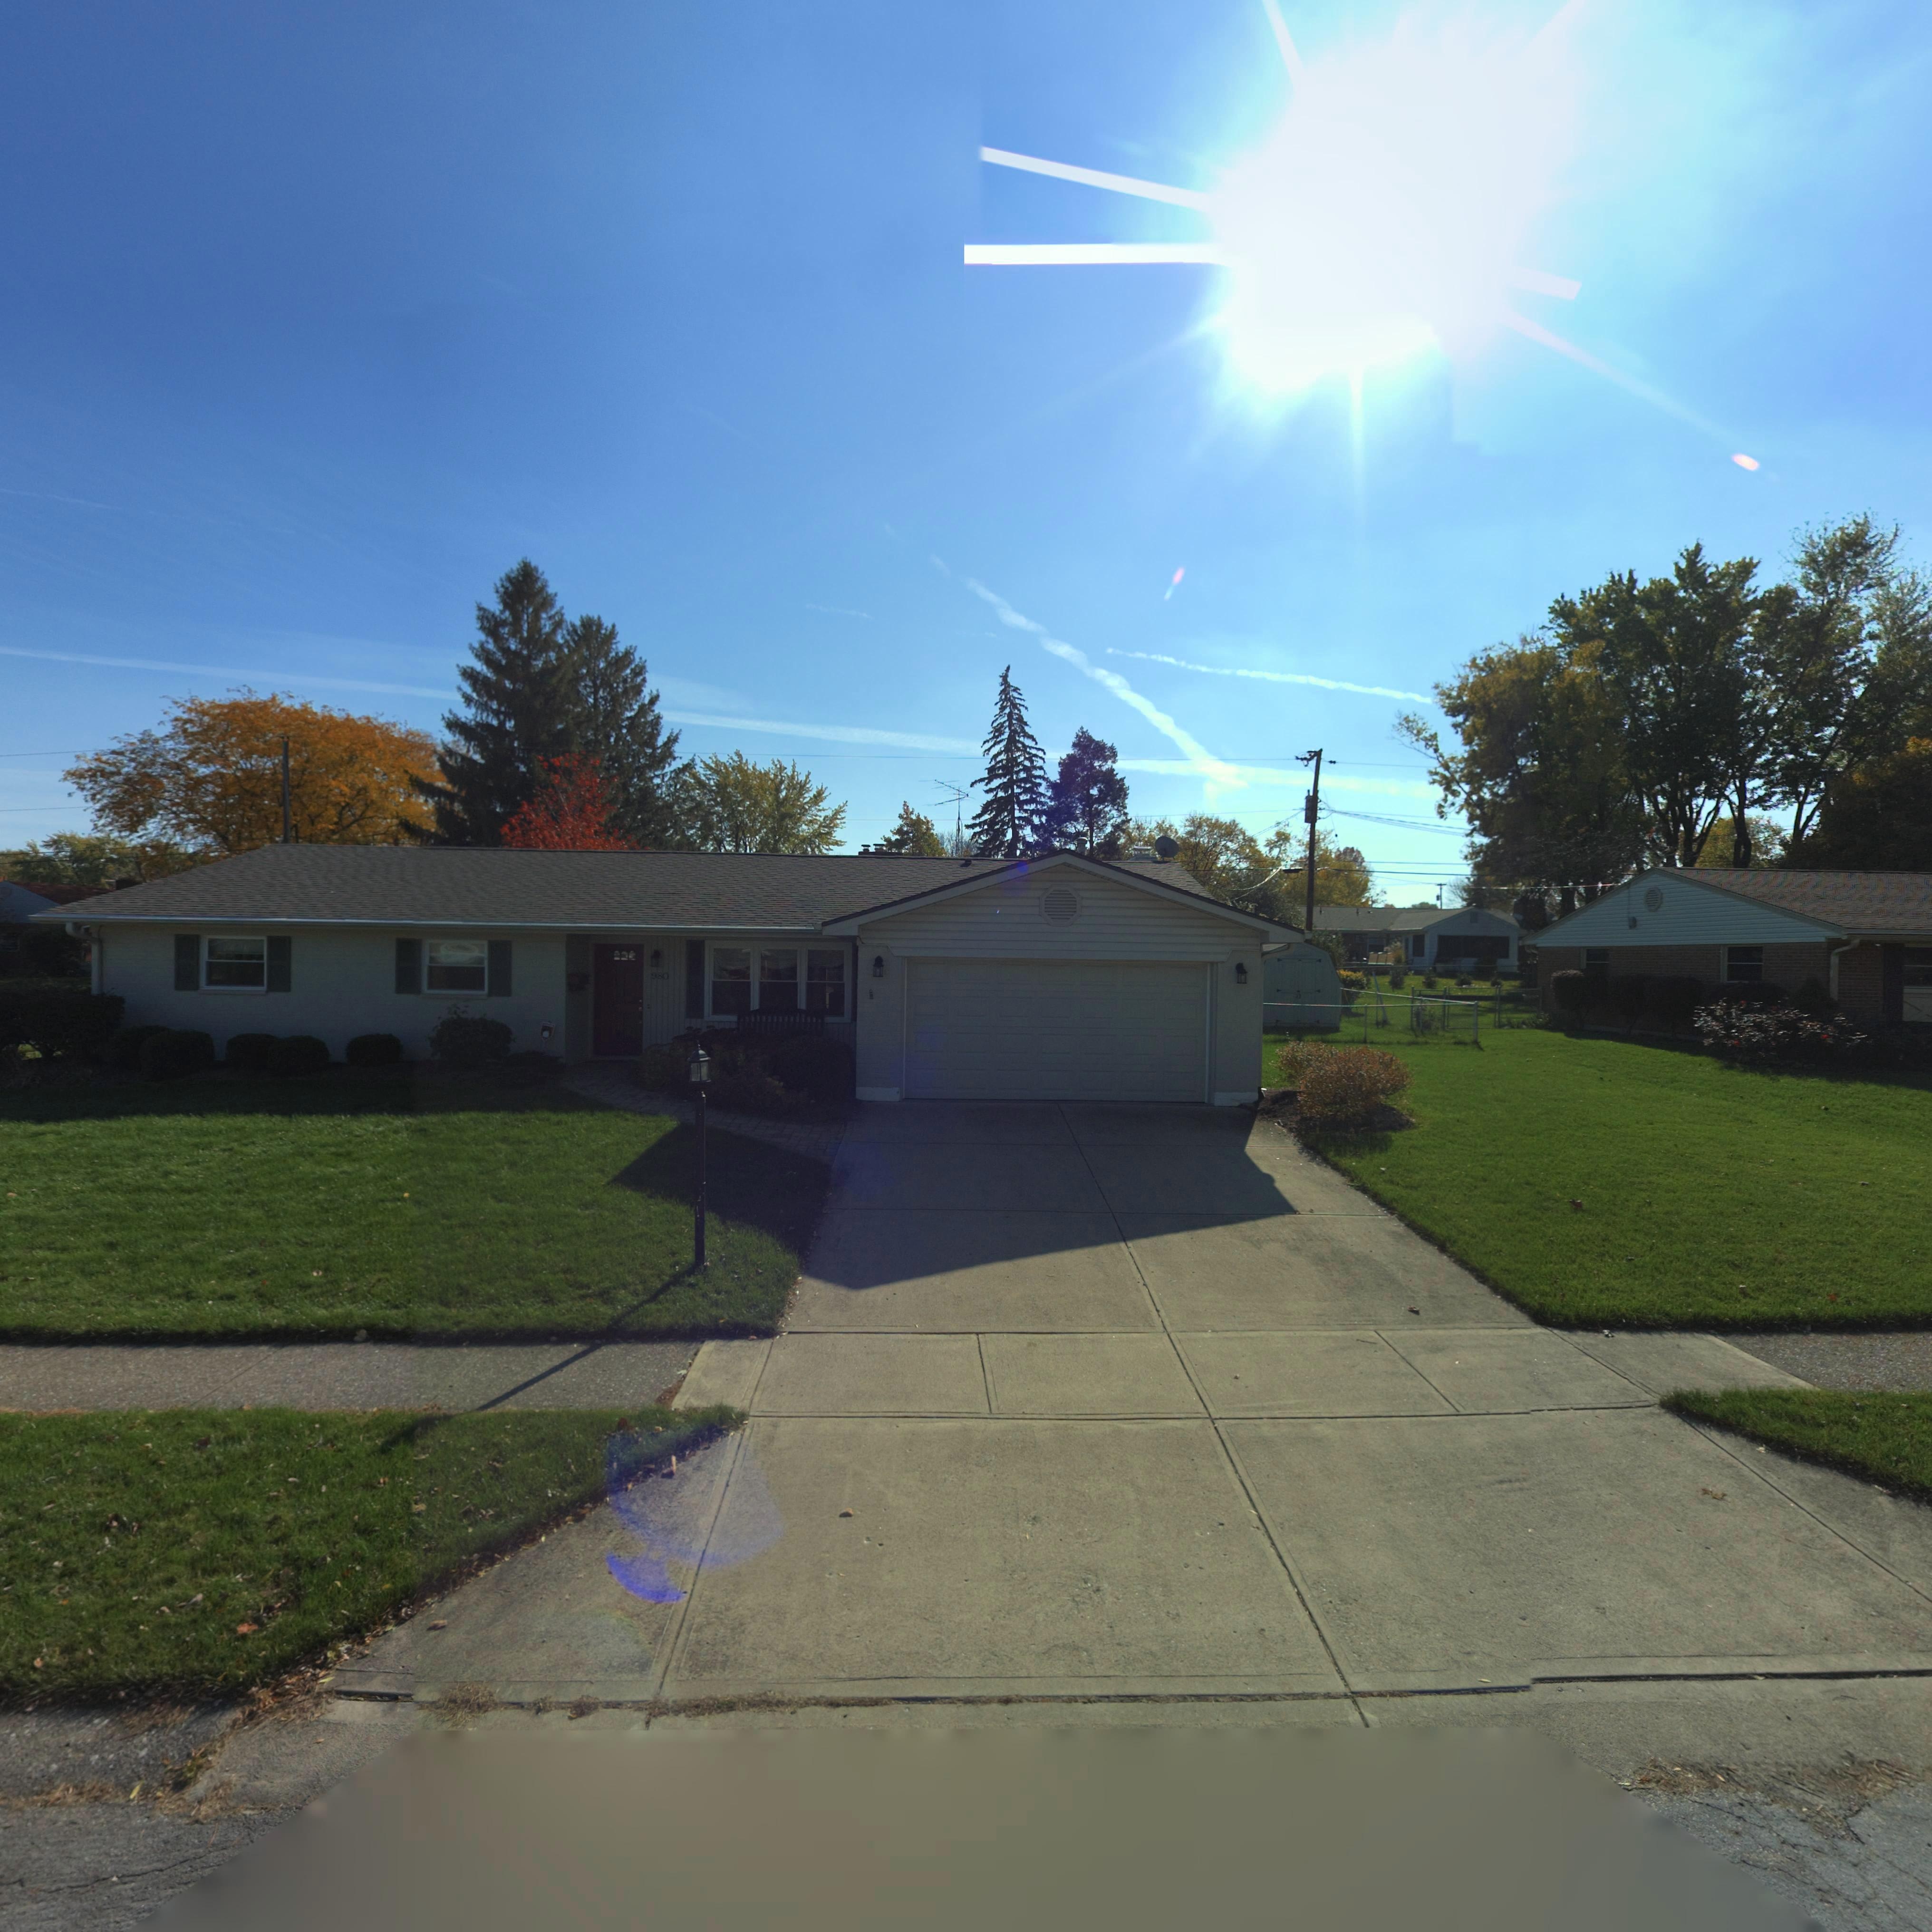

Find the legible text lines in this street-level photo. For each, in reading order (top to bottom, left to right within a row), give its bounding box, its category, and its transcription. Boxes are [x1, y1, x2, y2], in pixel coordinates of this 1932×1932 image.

[650, 972, 669, 980] StreetNumber: 980